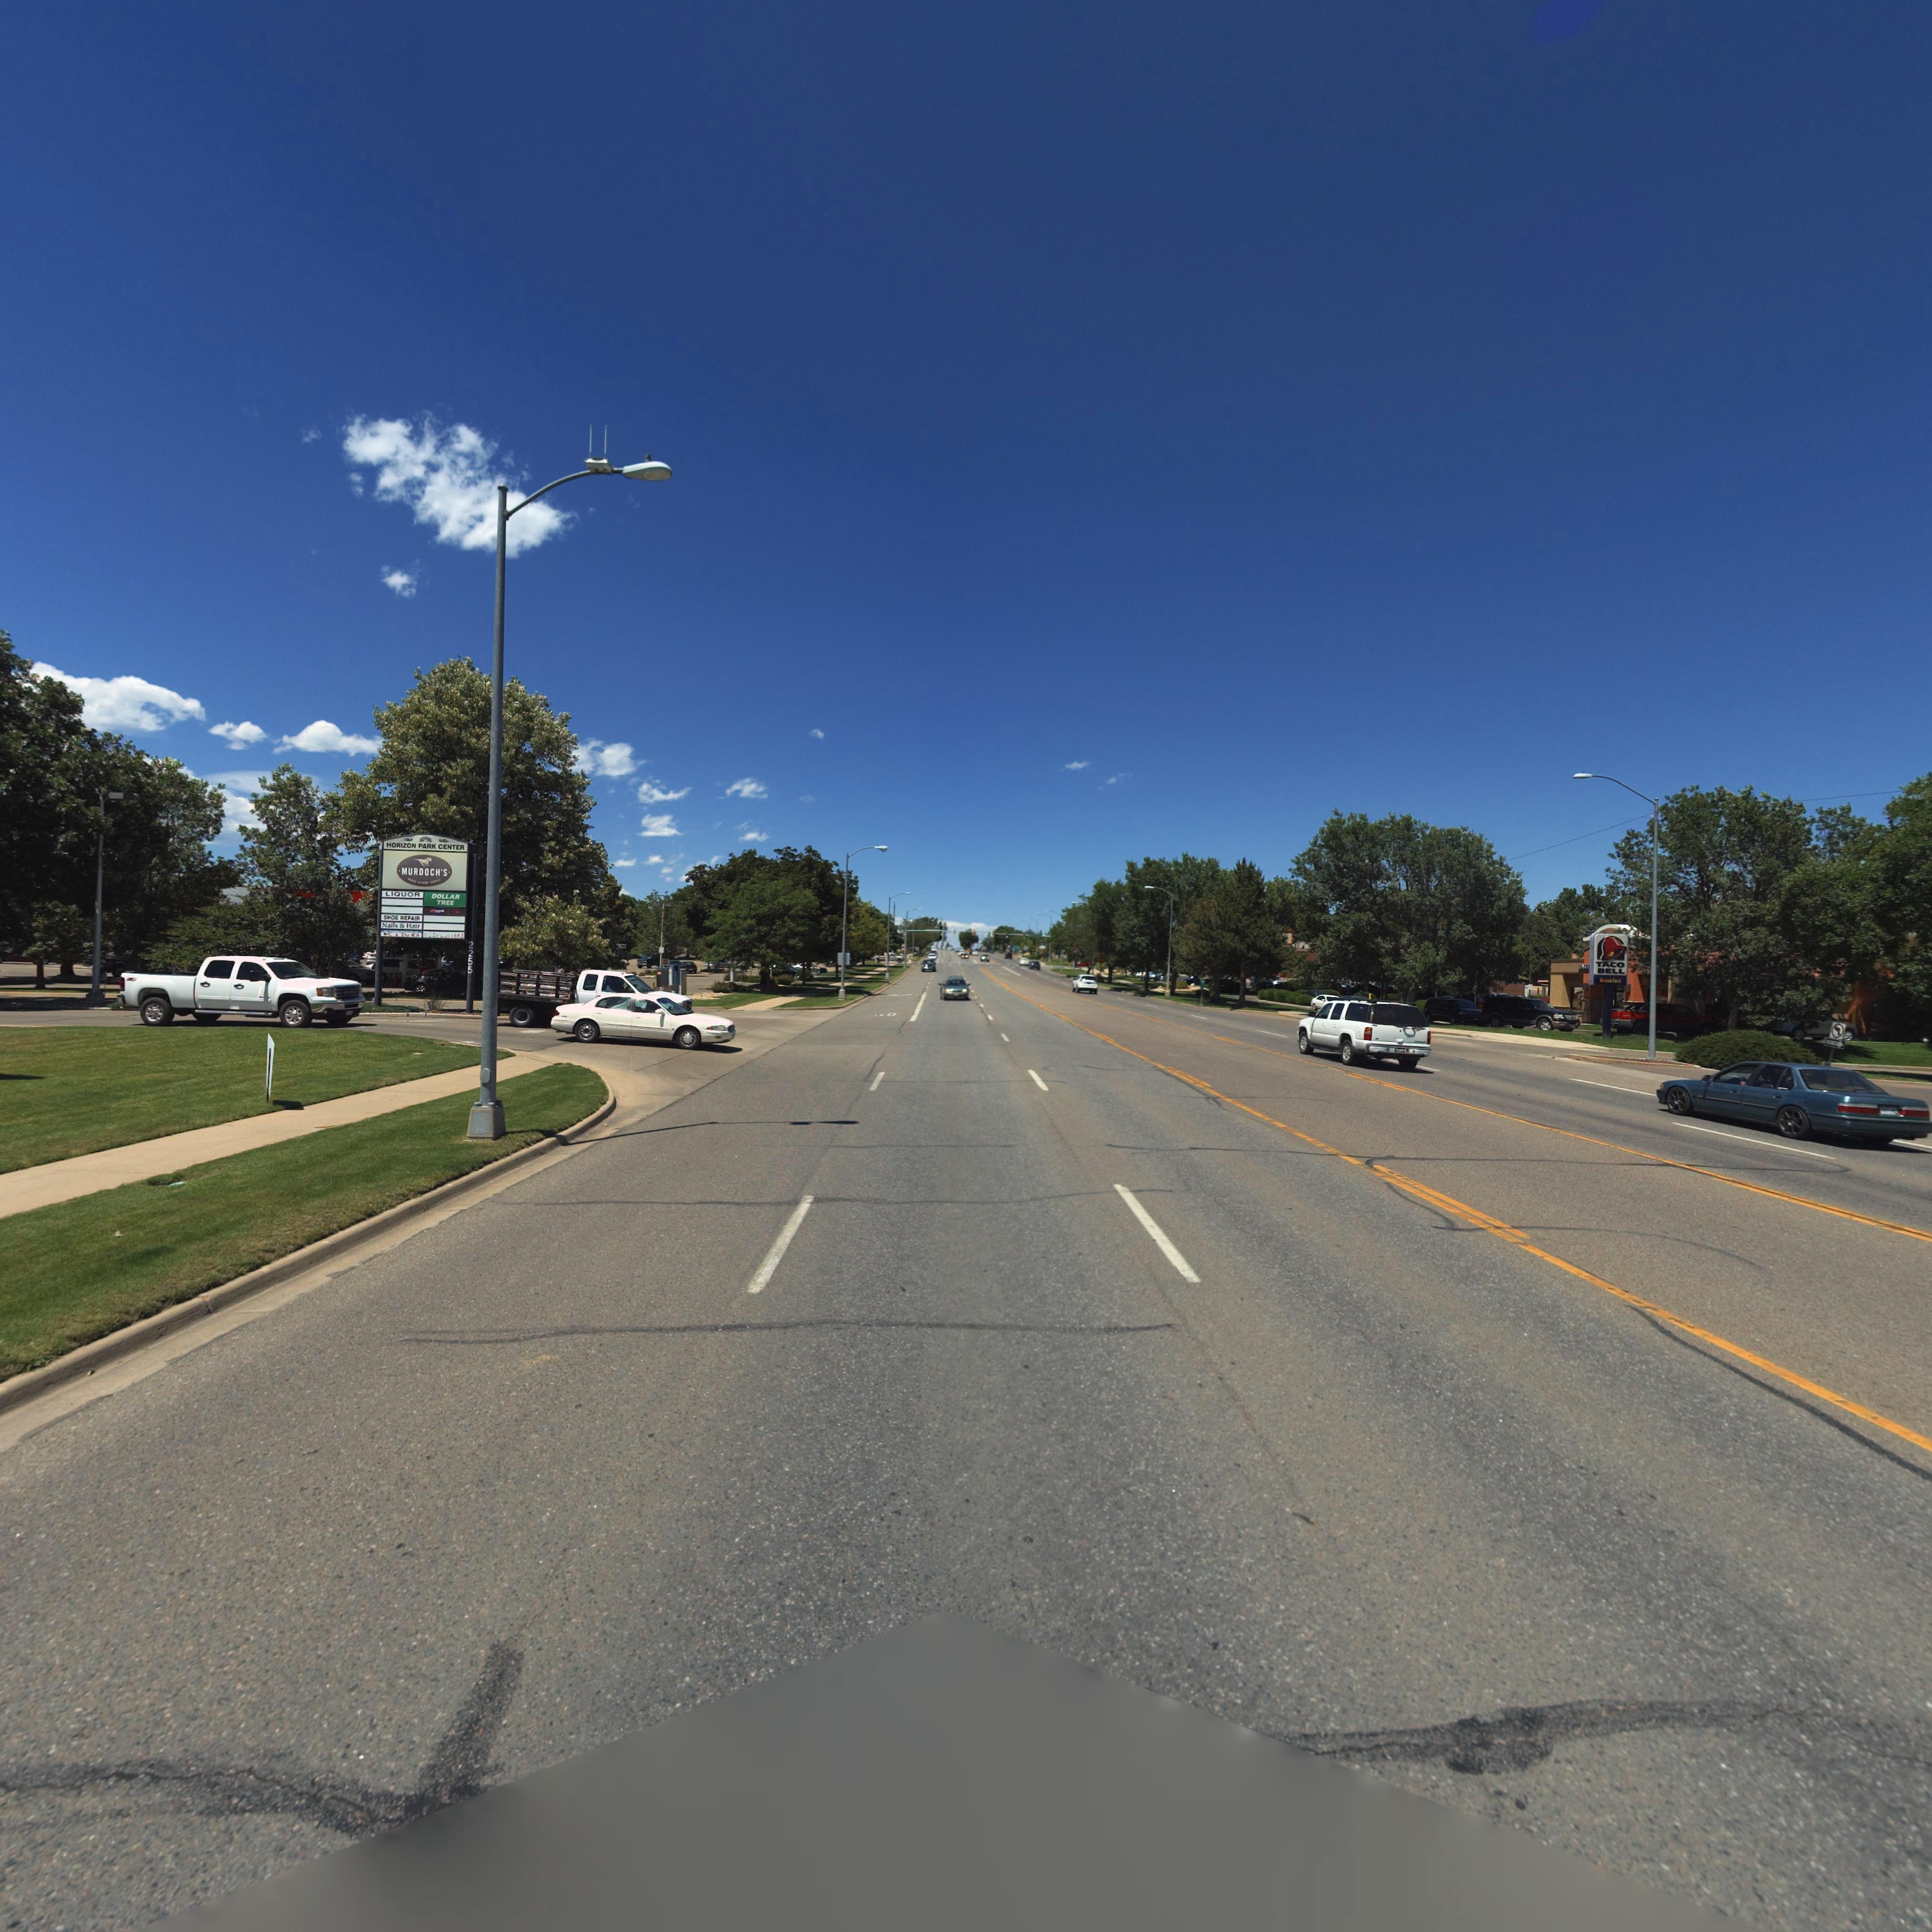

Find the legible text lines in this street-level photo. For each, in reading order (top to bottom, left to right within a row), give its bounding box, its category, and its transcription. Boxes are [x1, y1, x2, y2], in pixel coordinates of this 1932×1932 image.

[401, 867, 448, 876] BusinessName: MURDOCH'S
[431, 893, 460, 899] BusinessName: DOLLAR
[436, 900, 454, 905] BusinessName: TREE
[384, 932, 420, 937] BusinessName: K**G
[467, 941, 473, 974] StreetNumber: 2255
[1595, 961, 1625, 968] BusinessName: TACO
[1597, 968, 1625, 974] BusinessName: BELL